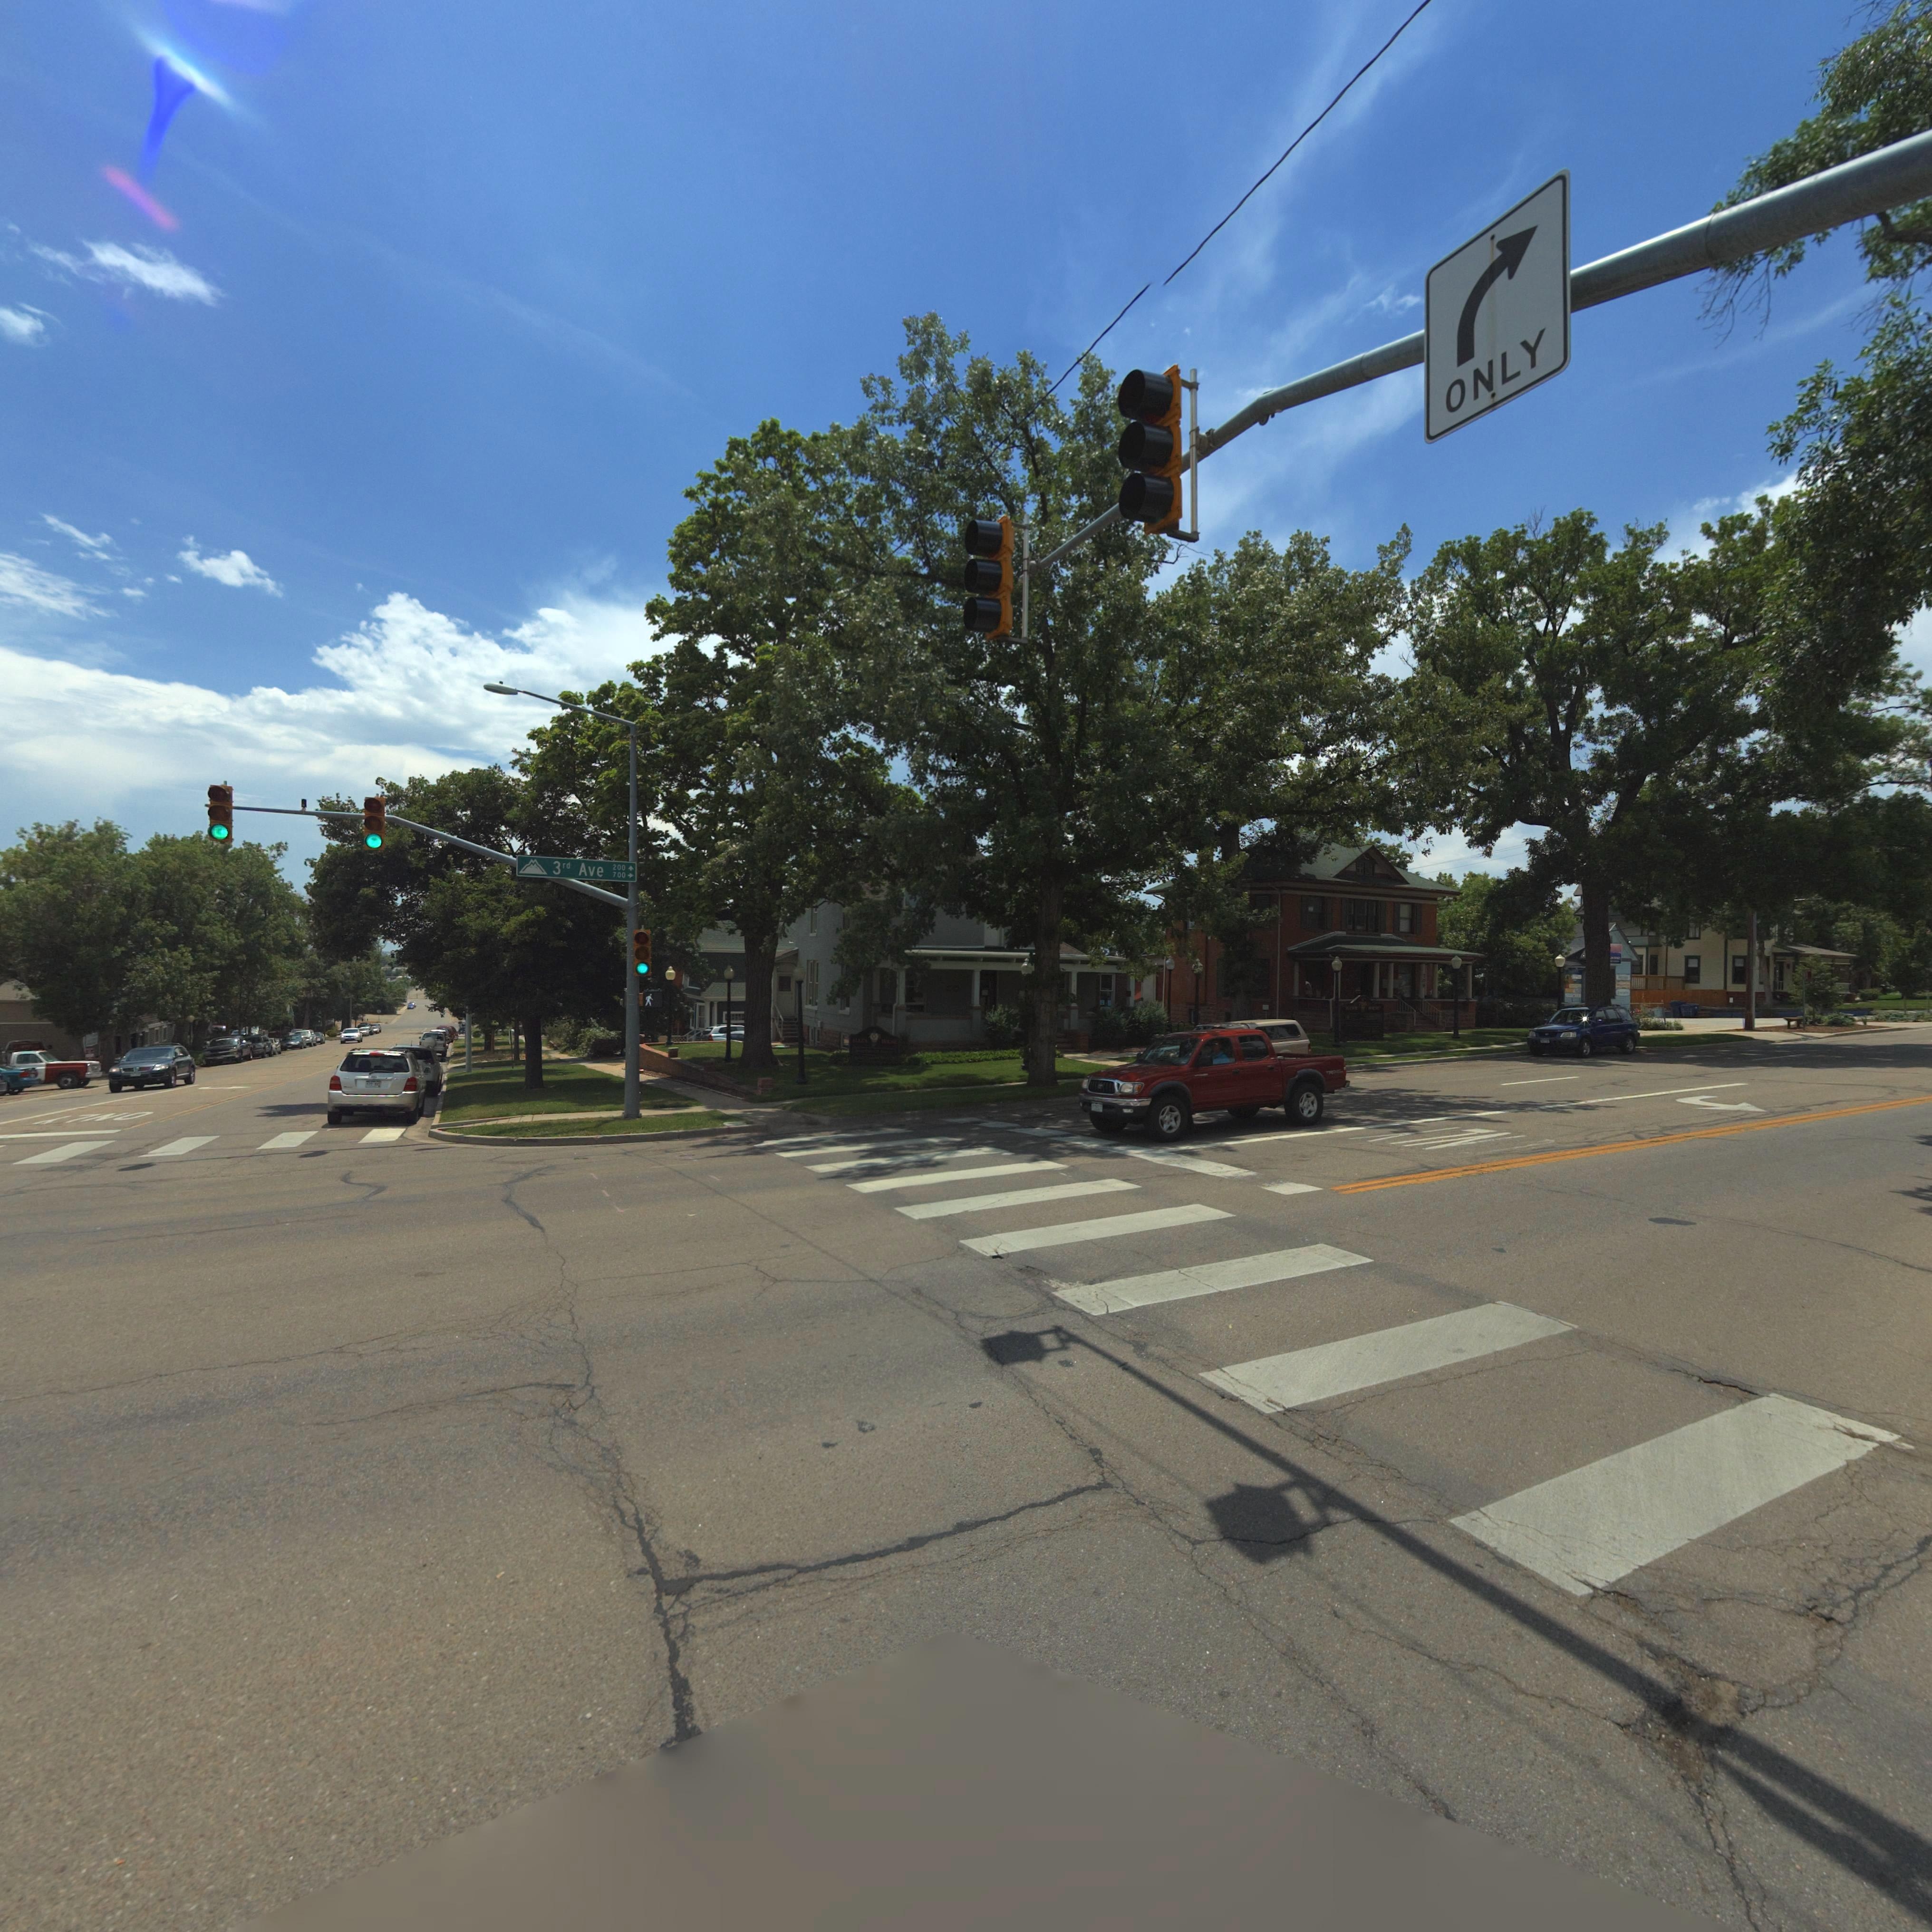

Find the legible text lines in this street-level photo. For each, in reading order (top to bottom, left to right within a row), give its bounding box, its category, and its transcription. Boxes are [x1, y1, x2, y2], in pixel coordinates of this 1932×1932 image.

[552, 860, 604, 877] StreetName: 3rd Ave
[612, 864, 626, 870] StreetNumberRange: 200
[612, 871, 634, 879] StreetNumberRange: 700->
[1358, 1001, 1367, 1006] StreetNumber: *0*